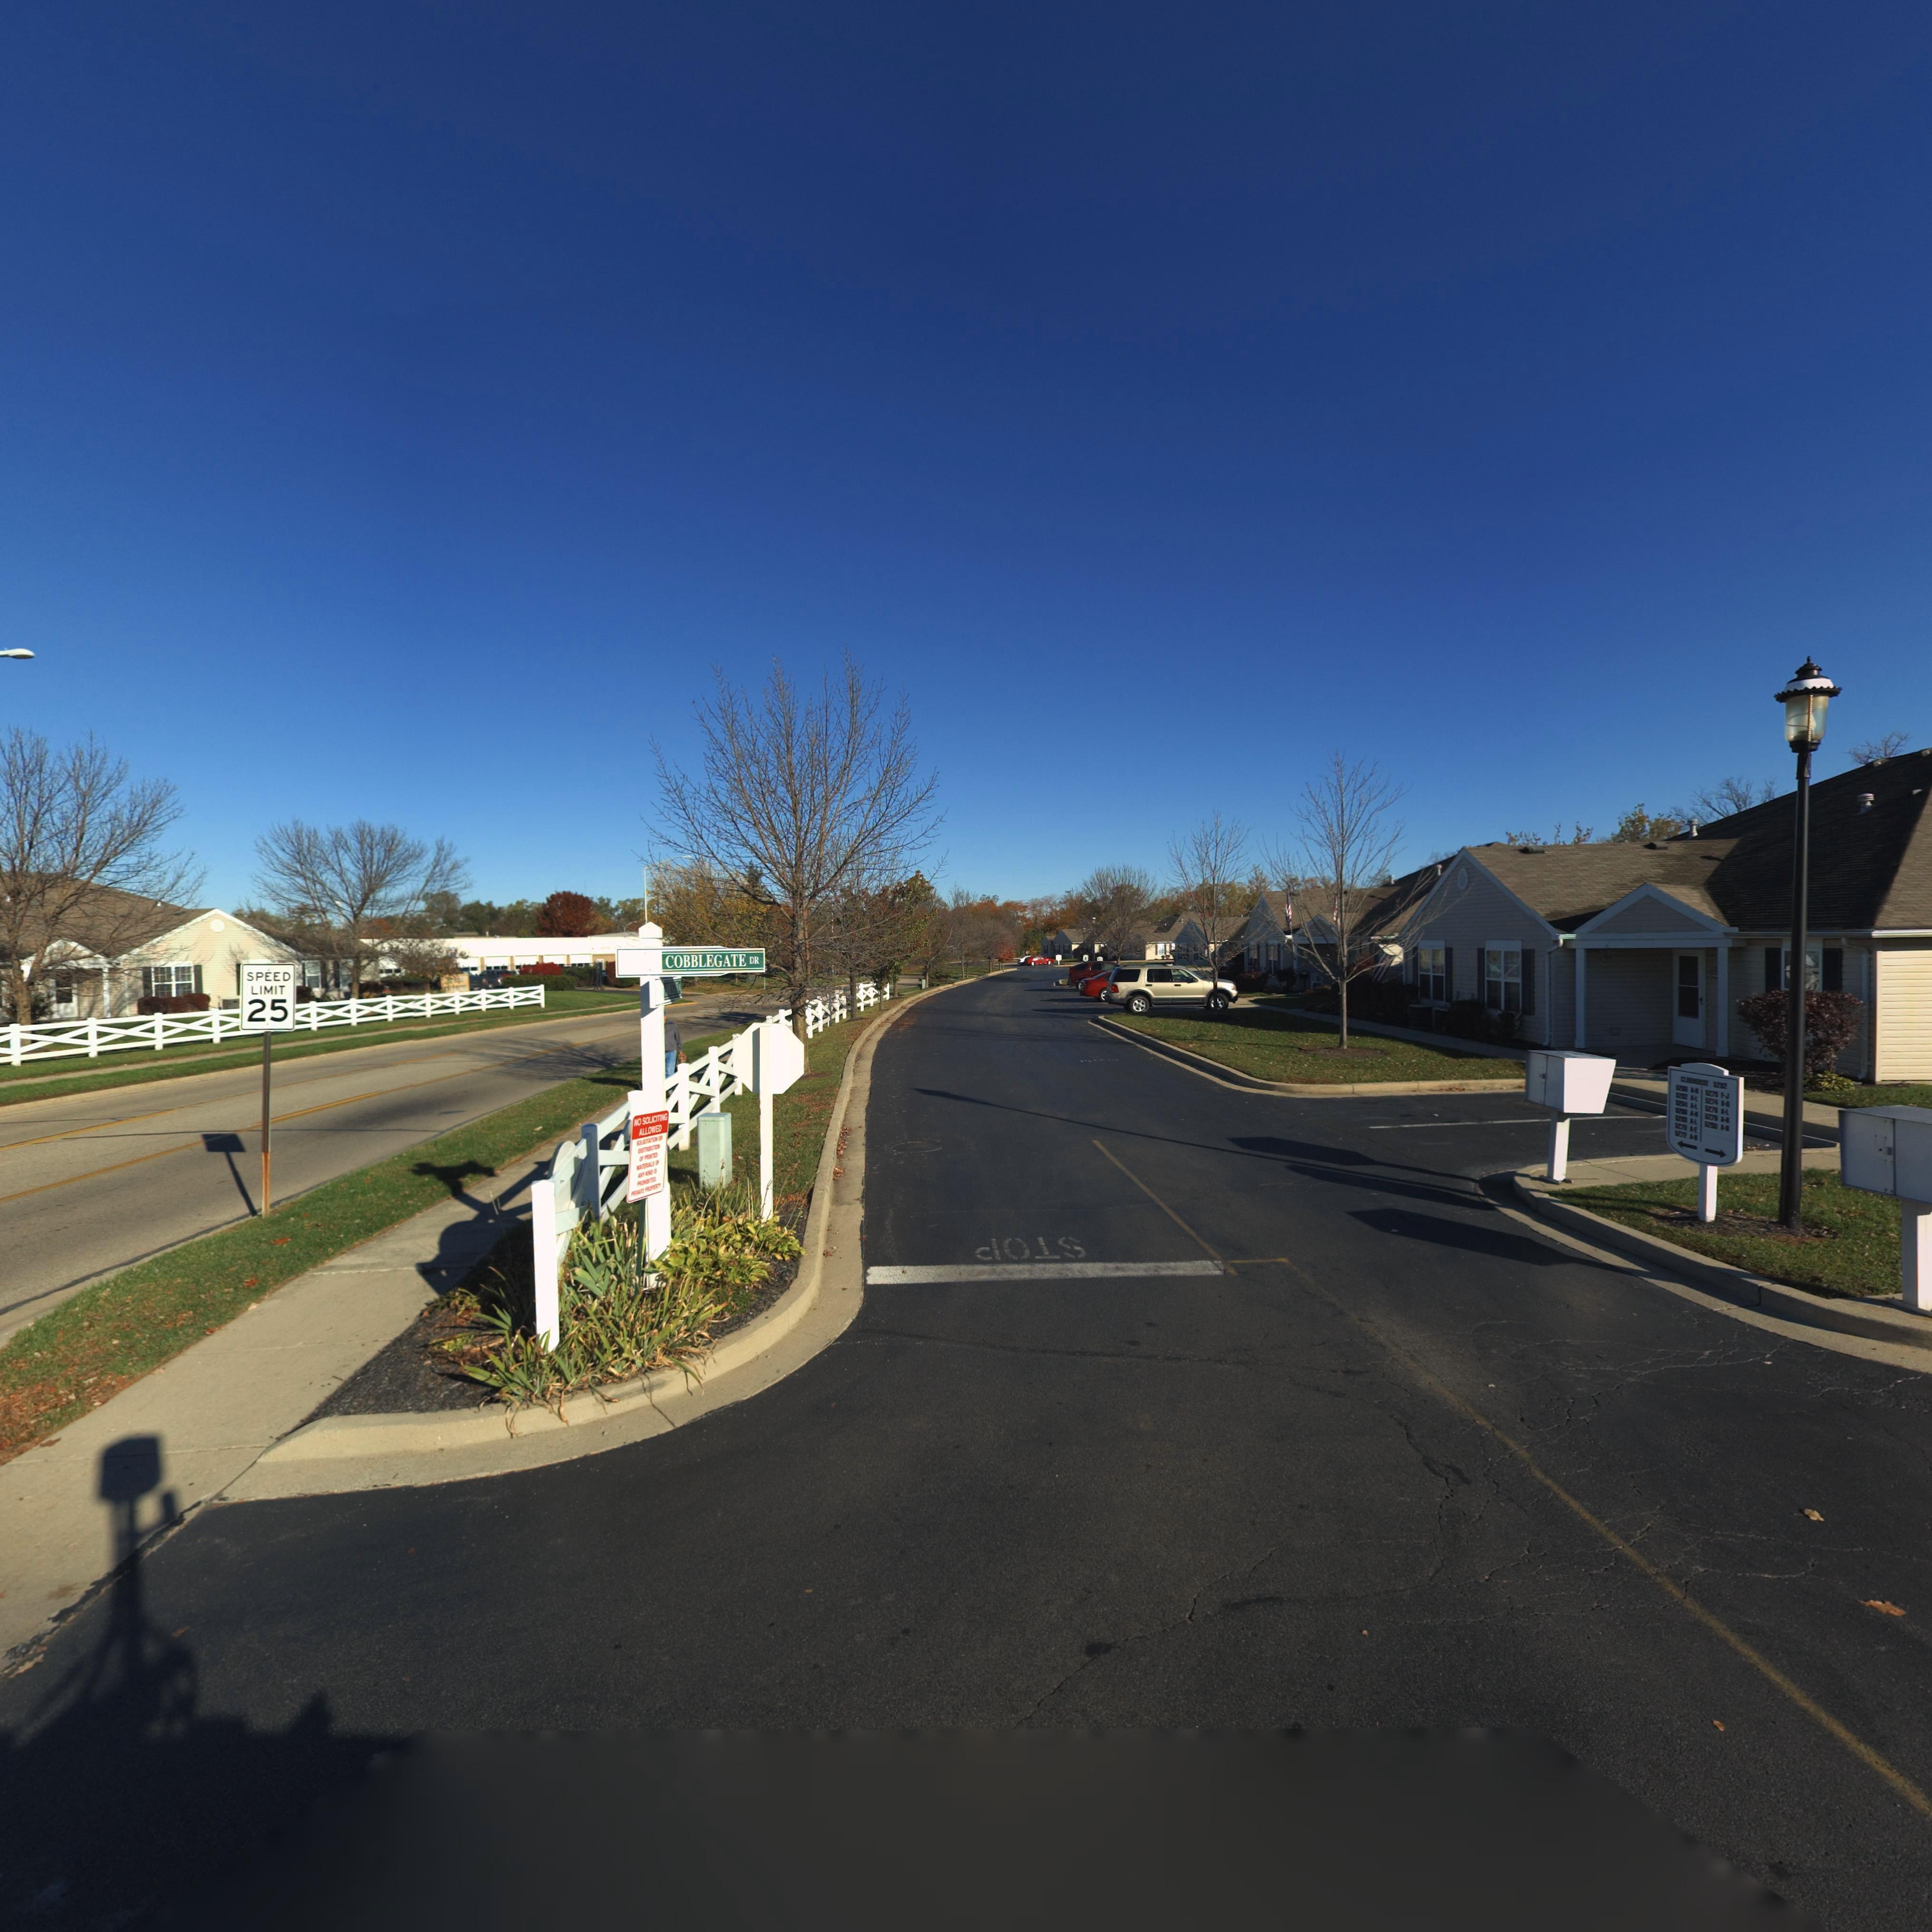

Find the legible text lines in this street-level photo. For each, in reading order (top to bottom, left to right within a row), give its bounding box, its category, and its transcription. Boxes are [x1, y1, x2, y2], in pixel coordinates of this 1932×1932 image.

[1704, 1088, 1730, 1101] StreetNumber: *27* *-J
[1704, 1096, 1731, 1109] StreetNumber: **7* *-*
[1704, 1104, 1730, 1116] StreetNumber: *27* ***
[1704, 1112, 1730, 1124] StreetNumber: **7* *-*
[1674, 1121, 1699, 1135] StreetNumber: **70 *-*
[1673, 1129, 1699, 1142] StreetNumber: **72 *-*